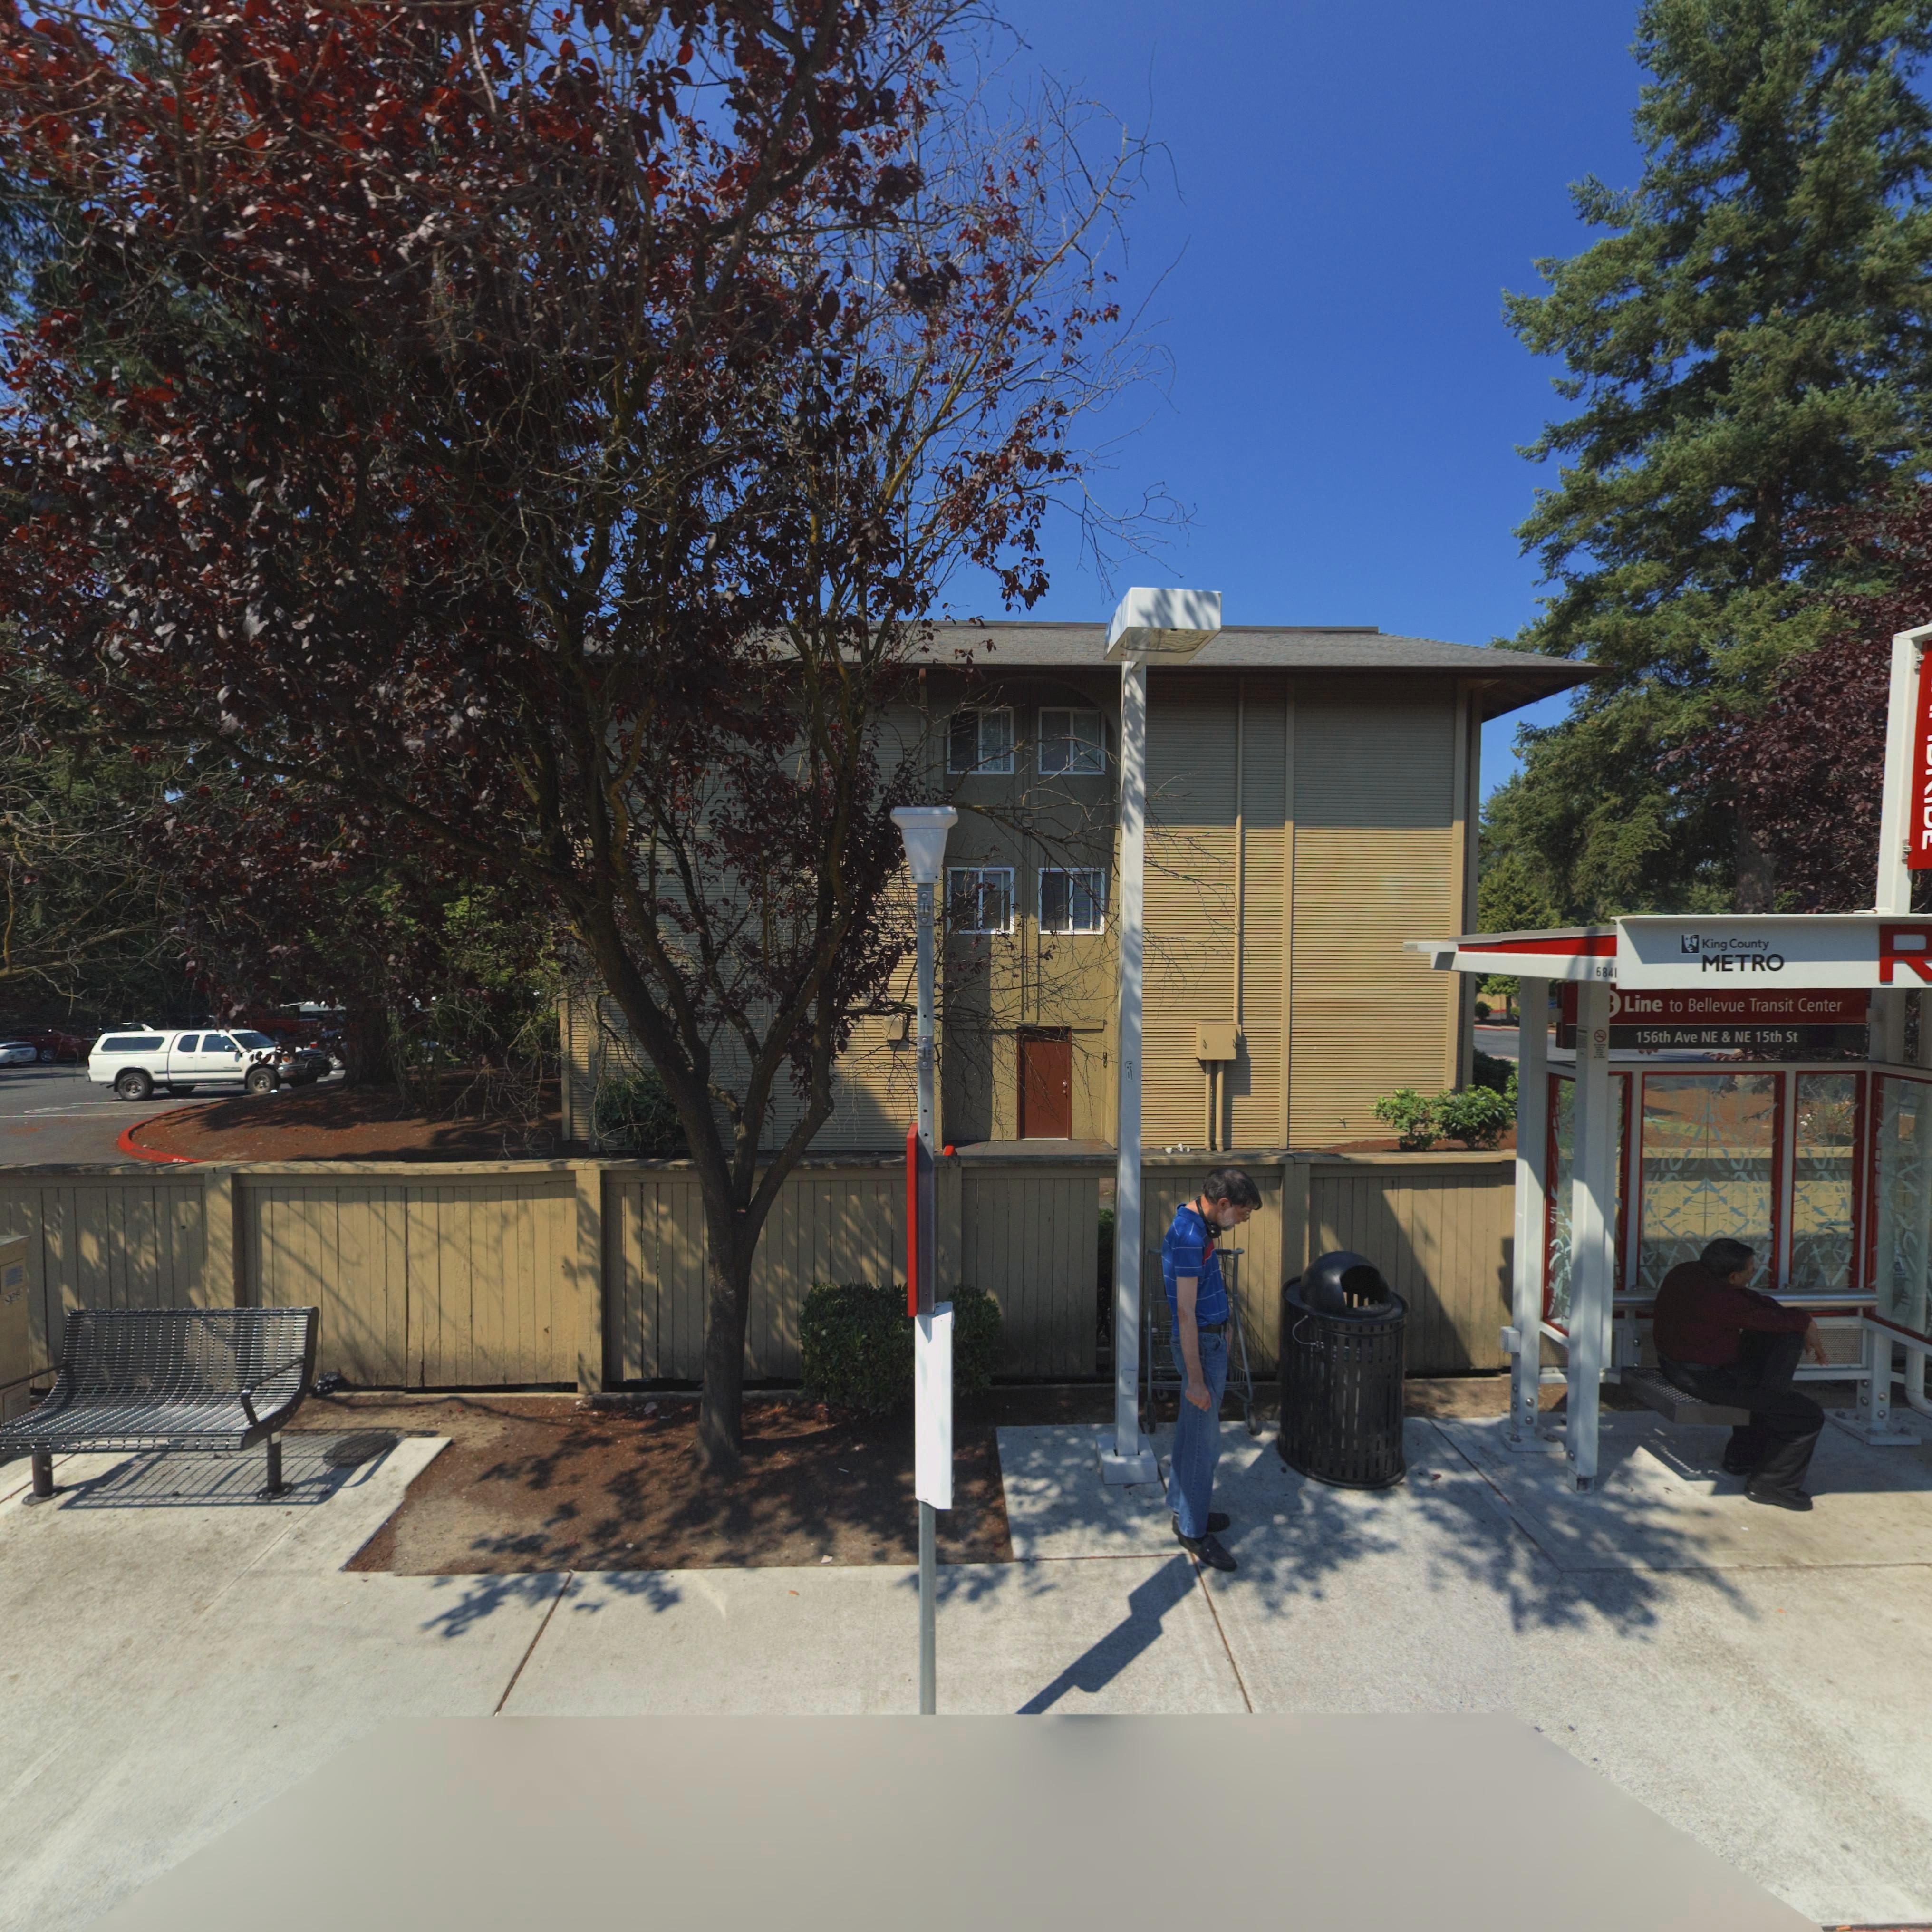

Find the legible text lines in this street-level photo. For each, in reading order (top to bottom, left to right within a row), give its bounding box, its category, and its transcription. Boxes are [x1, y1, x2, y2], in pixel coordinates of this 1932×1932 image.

[1729, 937, 1768, 951] None: Country
[1702, 953, 1786, 972] None: METRO
[1637, 1031, 1797, 1042] StreetName: 156th Ave NE & NE 15th St